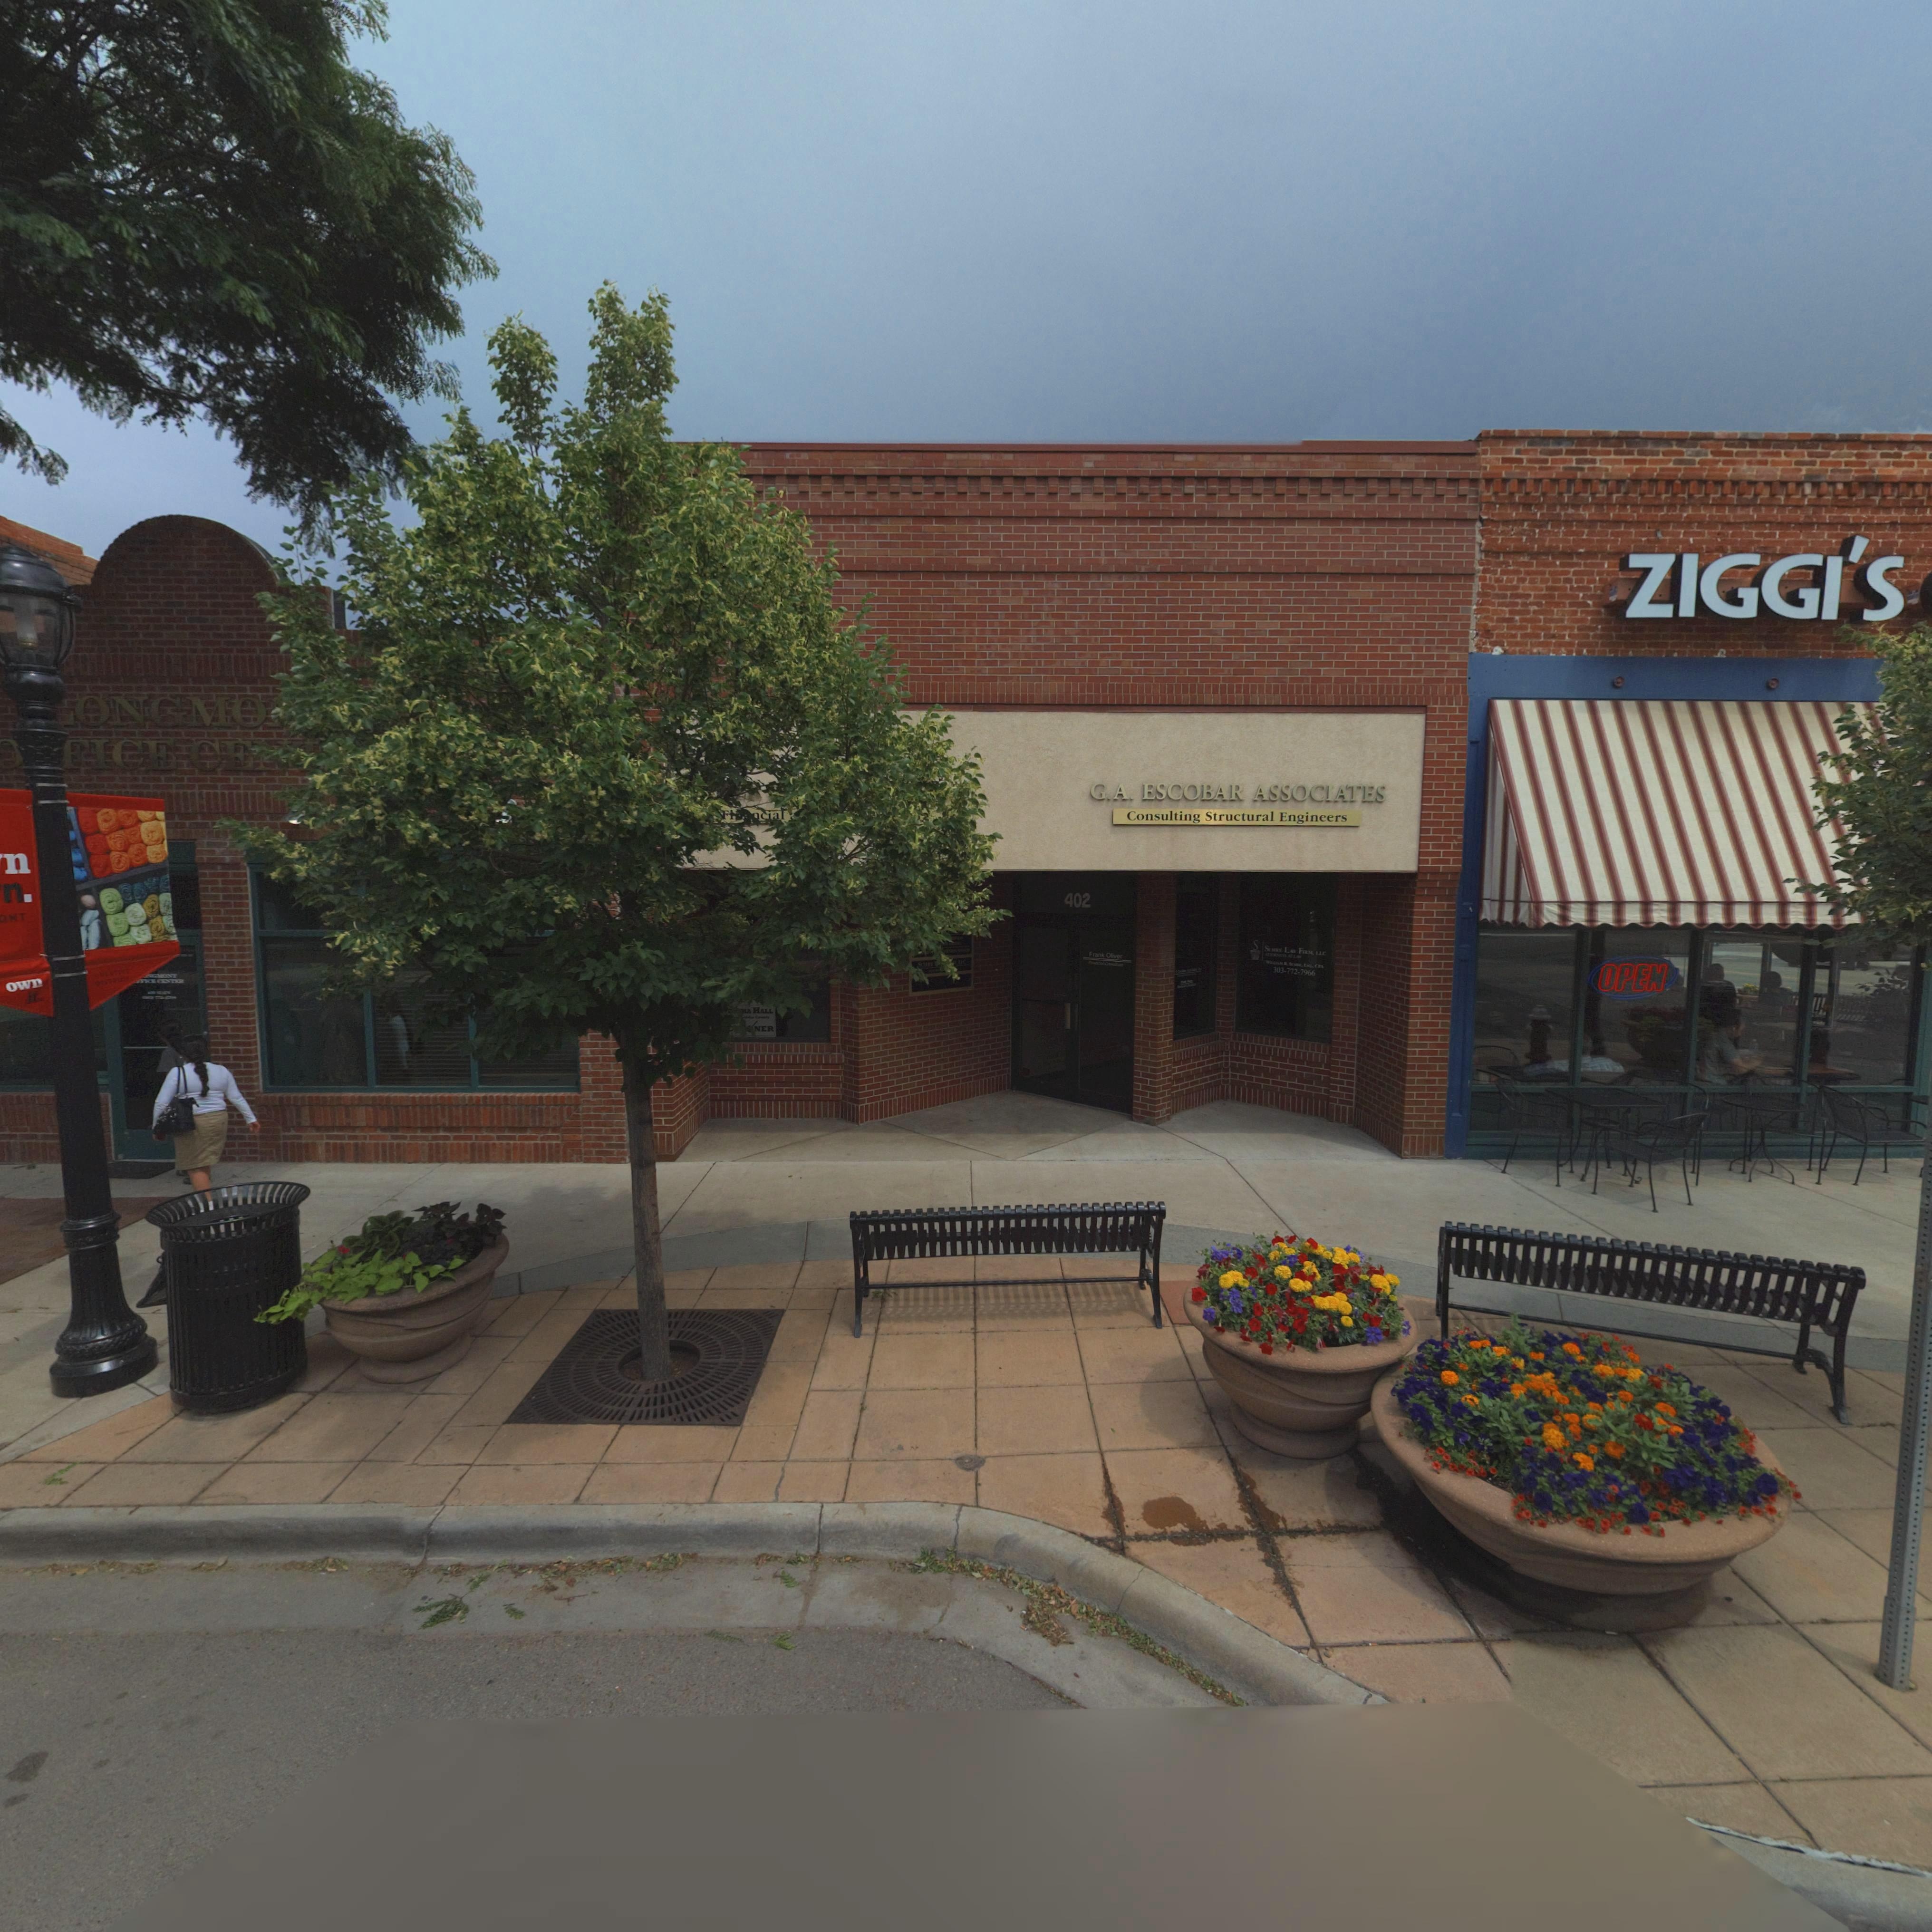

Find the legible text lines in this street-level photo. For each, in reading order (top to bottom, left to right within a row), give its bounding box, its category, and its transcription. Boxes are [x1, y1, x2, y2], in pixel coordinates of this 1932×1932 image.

[1624, 533, 1908, 624] BusinessName: ZIGGI'S ******
[53, 694, 321, 729] BusinessName: *ONGMO**
[6, 736, 336, 773] BusinessName: **FICE CE****
[1088, 782, 1386, 803] BusinessName: G.A. ESCOBAR ASSOCIATES
[1063, 892, 1091, 908] StreetNumber: 402
[1264, 945, 1327, 956] BusinessName: S*H** LA* FIRM LLC
[134, 978, 184, 984] BusinessName: **FICE CENTER
[142, 973, 178, 978] BusinessName: ***GMONT